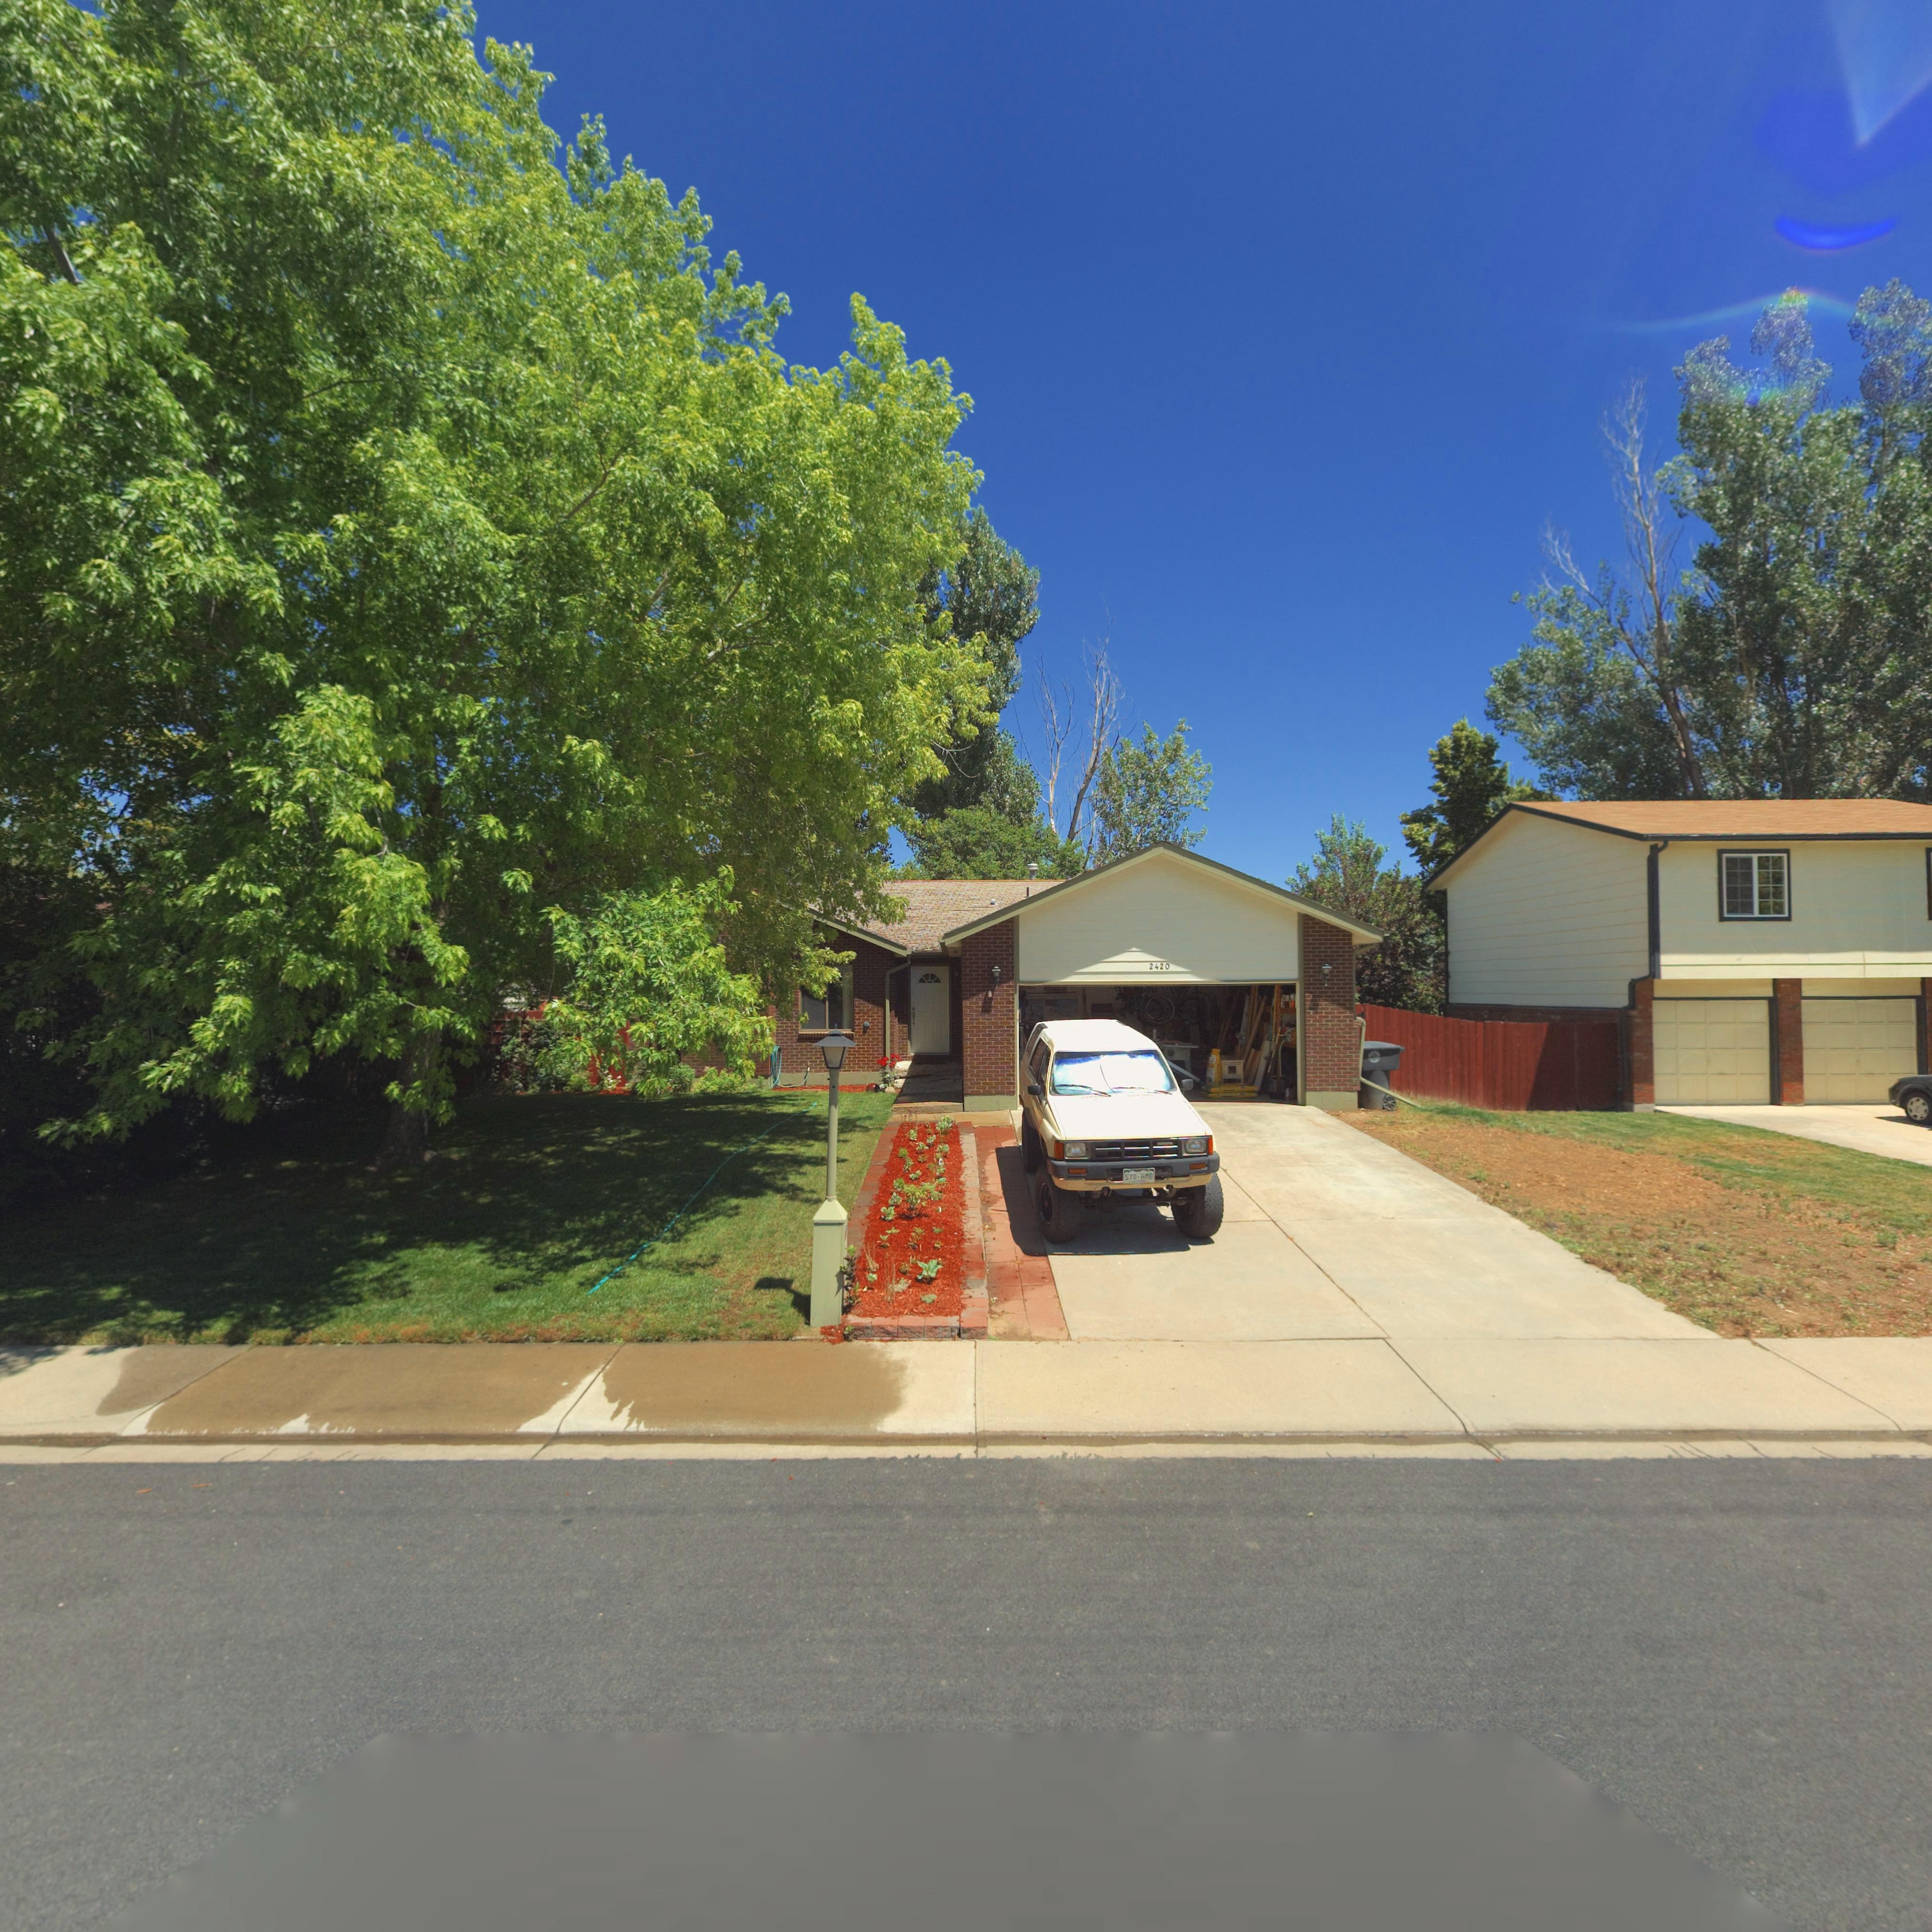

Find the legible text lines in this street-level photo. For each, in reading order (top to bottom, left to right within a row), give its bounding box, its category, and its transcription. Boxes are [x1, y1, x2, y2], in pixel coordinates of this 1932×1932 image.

[1149, 962, 1170, 970] StreetNumber: 2420